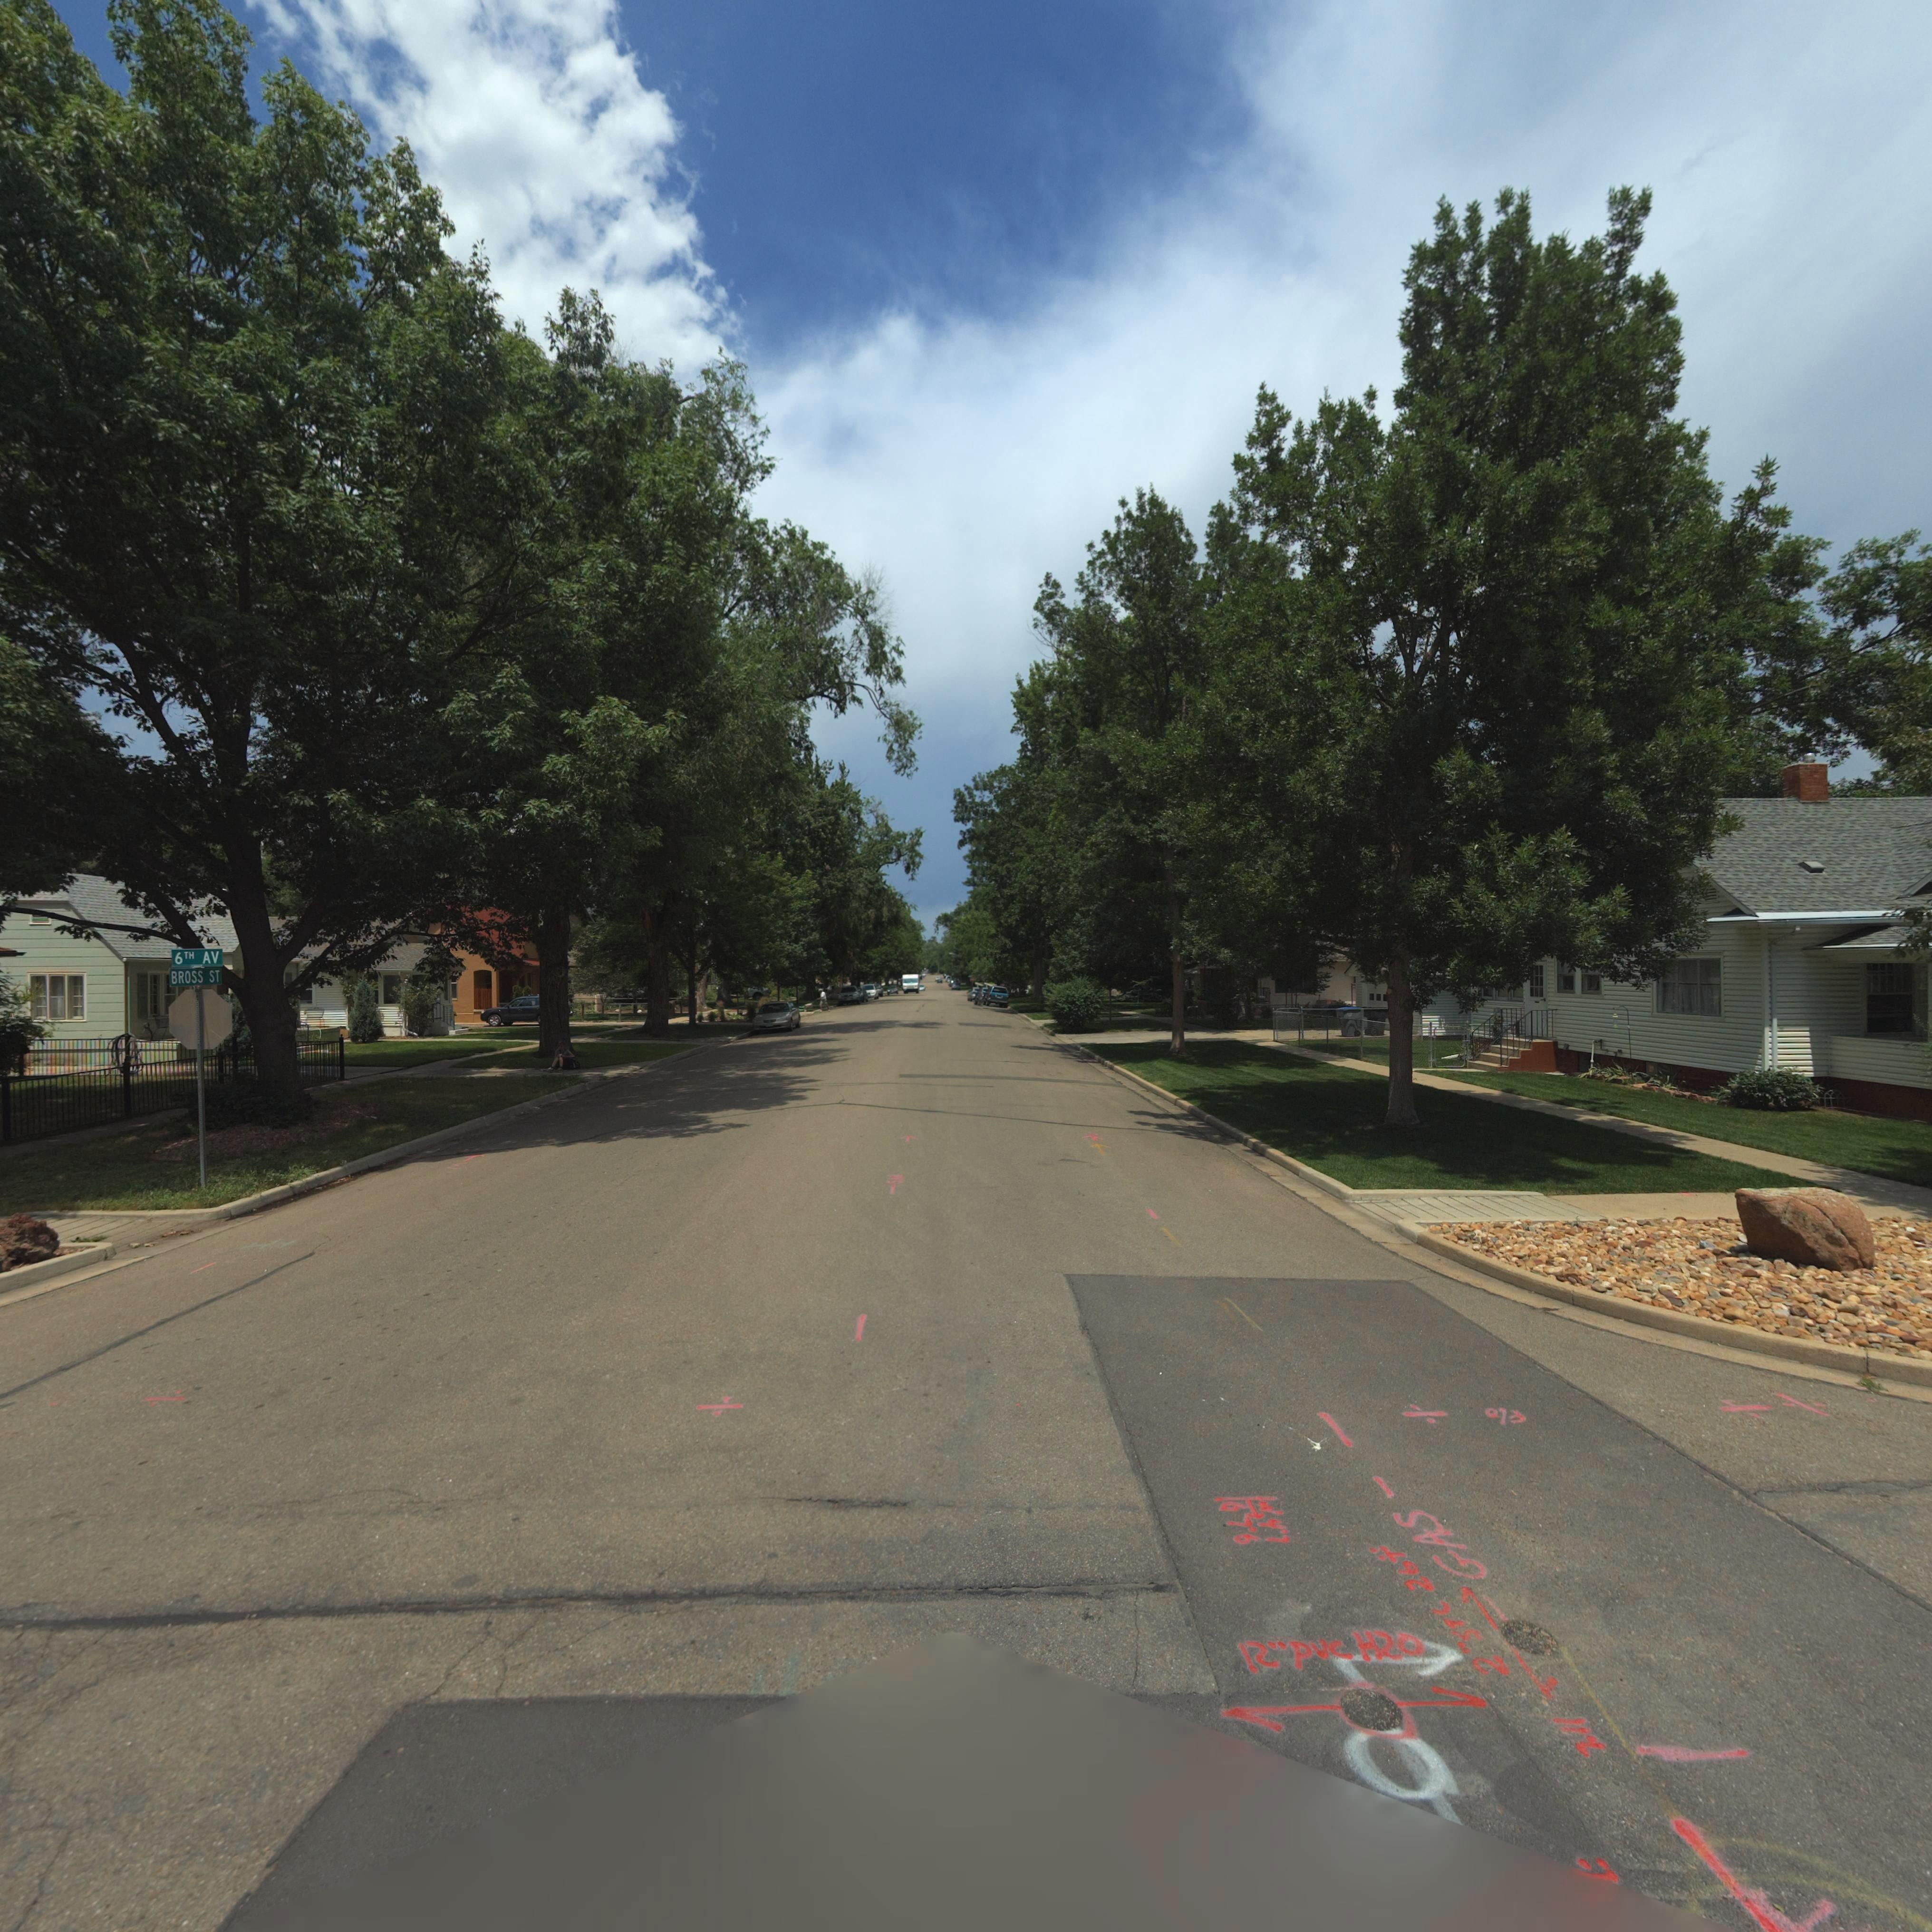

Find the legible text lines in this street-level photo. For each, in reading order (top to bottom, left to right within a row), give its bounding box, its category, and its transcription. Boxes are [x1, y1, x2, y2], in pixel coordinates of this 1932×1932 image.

[174, 950, 220, 965] StreetName: 6TH AV
[171, 969, 220, 985] StreetName: BROSS ST